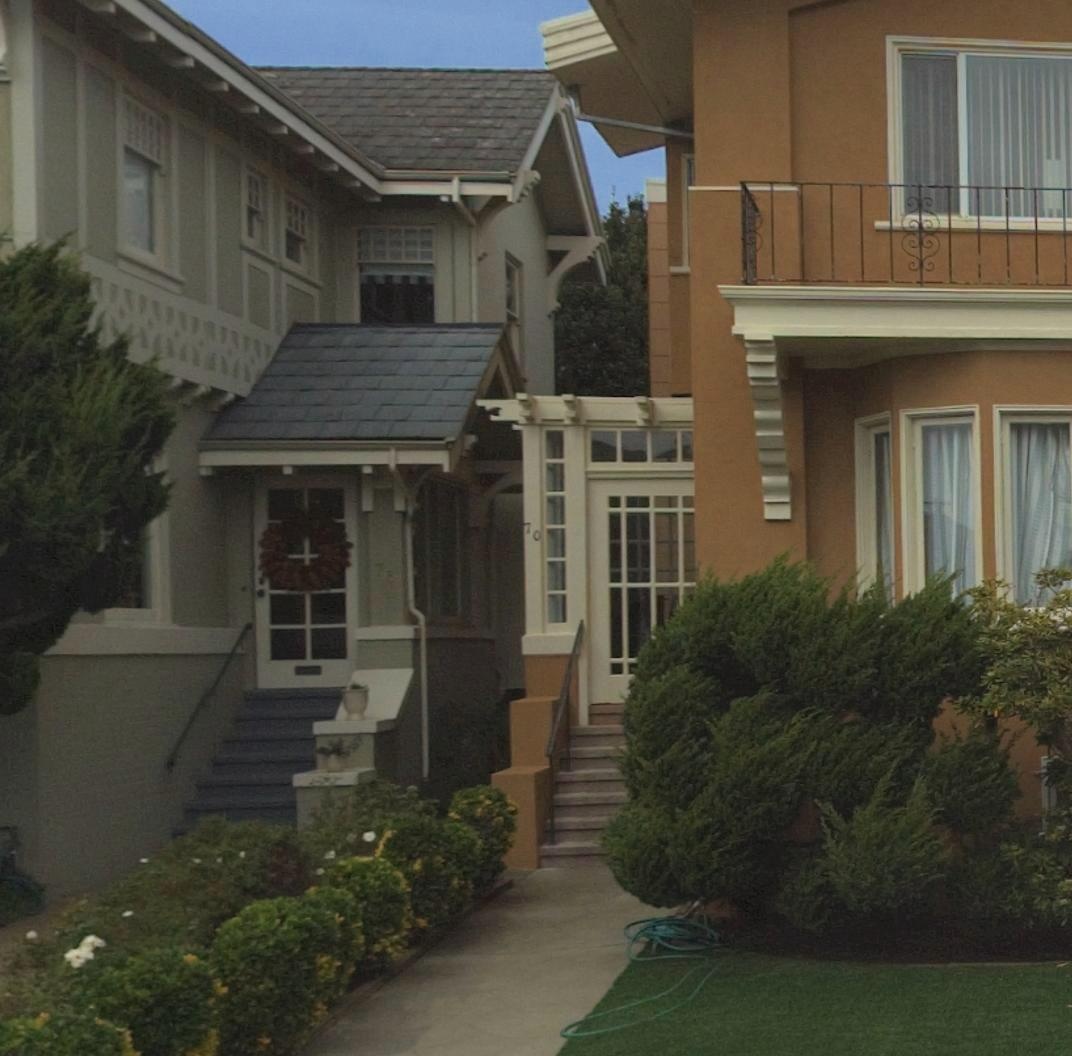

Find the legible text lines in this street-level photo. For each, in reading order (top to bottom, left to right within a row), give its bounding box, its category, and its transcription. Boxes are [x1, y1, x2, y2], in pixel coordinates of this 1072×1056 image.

[523, 521, 541, 541] StreetNumber: 70
[374, 560, 397, 584] StreetNumber: 78